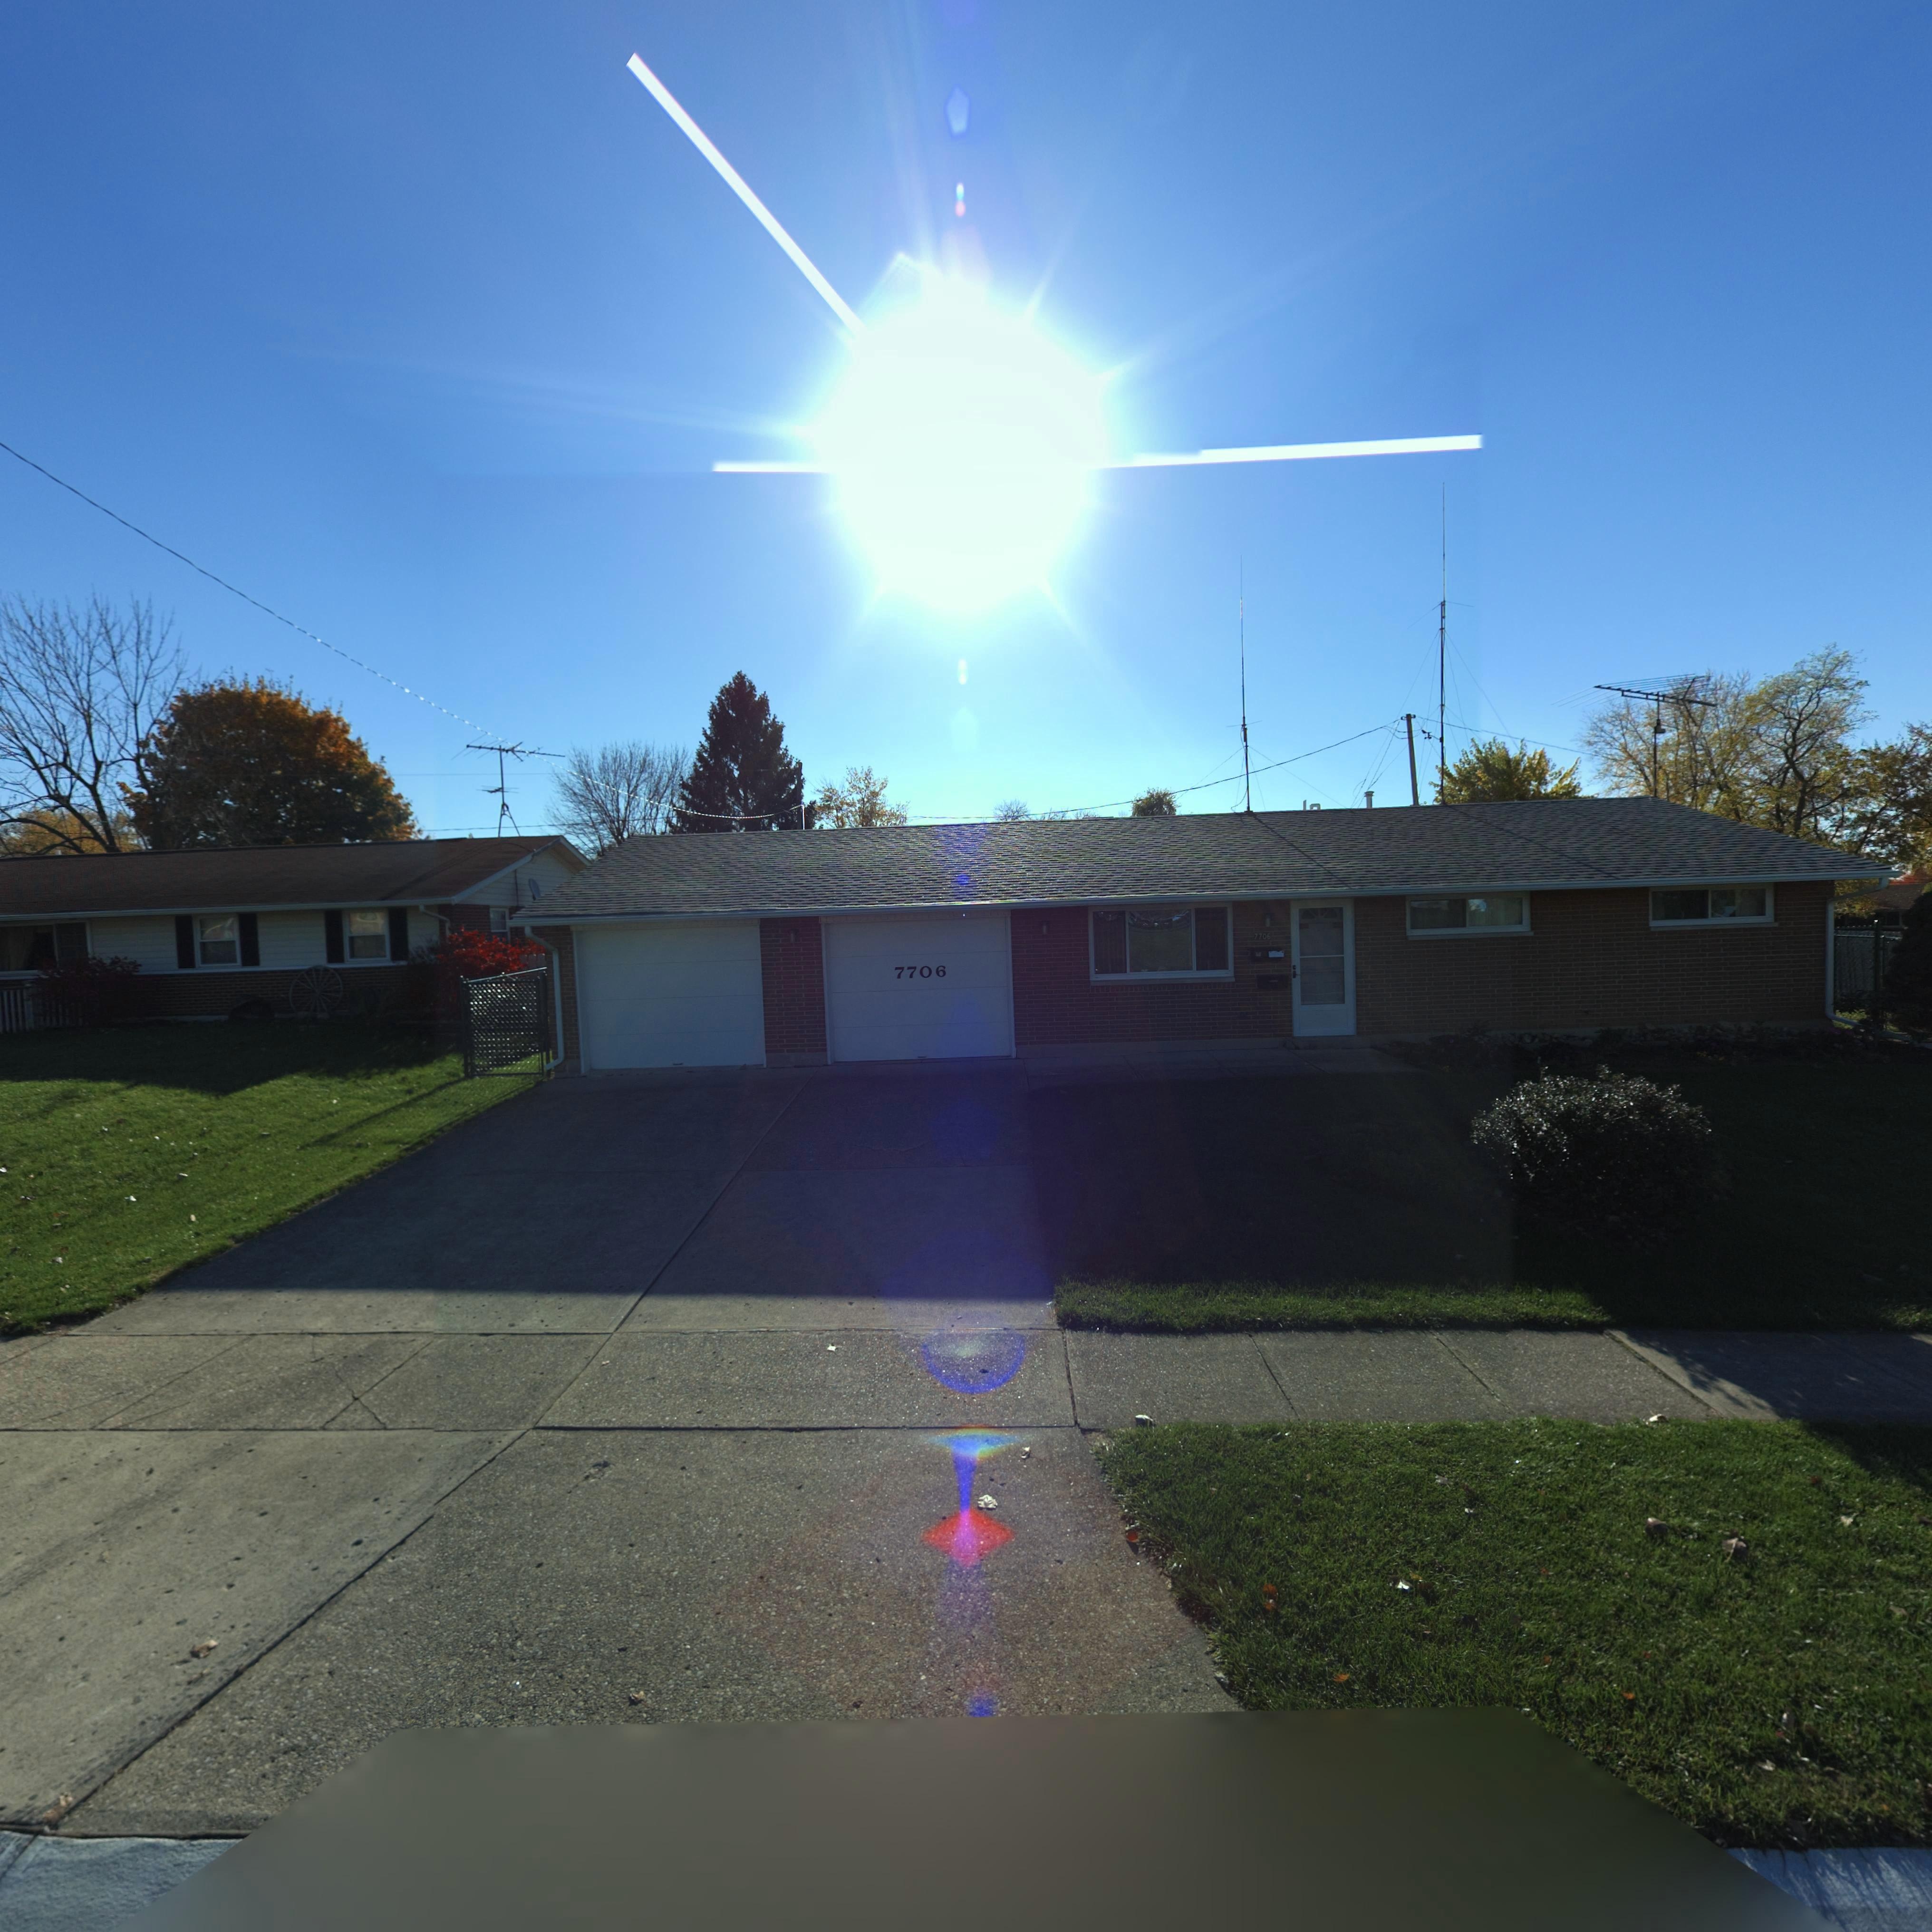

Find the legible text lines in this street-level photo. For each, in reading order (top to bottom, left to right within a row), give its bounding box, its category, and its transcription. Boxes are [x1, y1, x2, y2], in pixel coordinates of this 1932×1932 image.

[1253, 933, 1272, 941] StreetNumber: 7706
[893, 964, 948, 980] StreetNumber: 7706